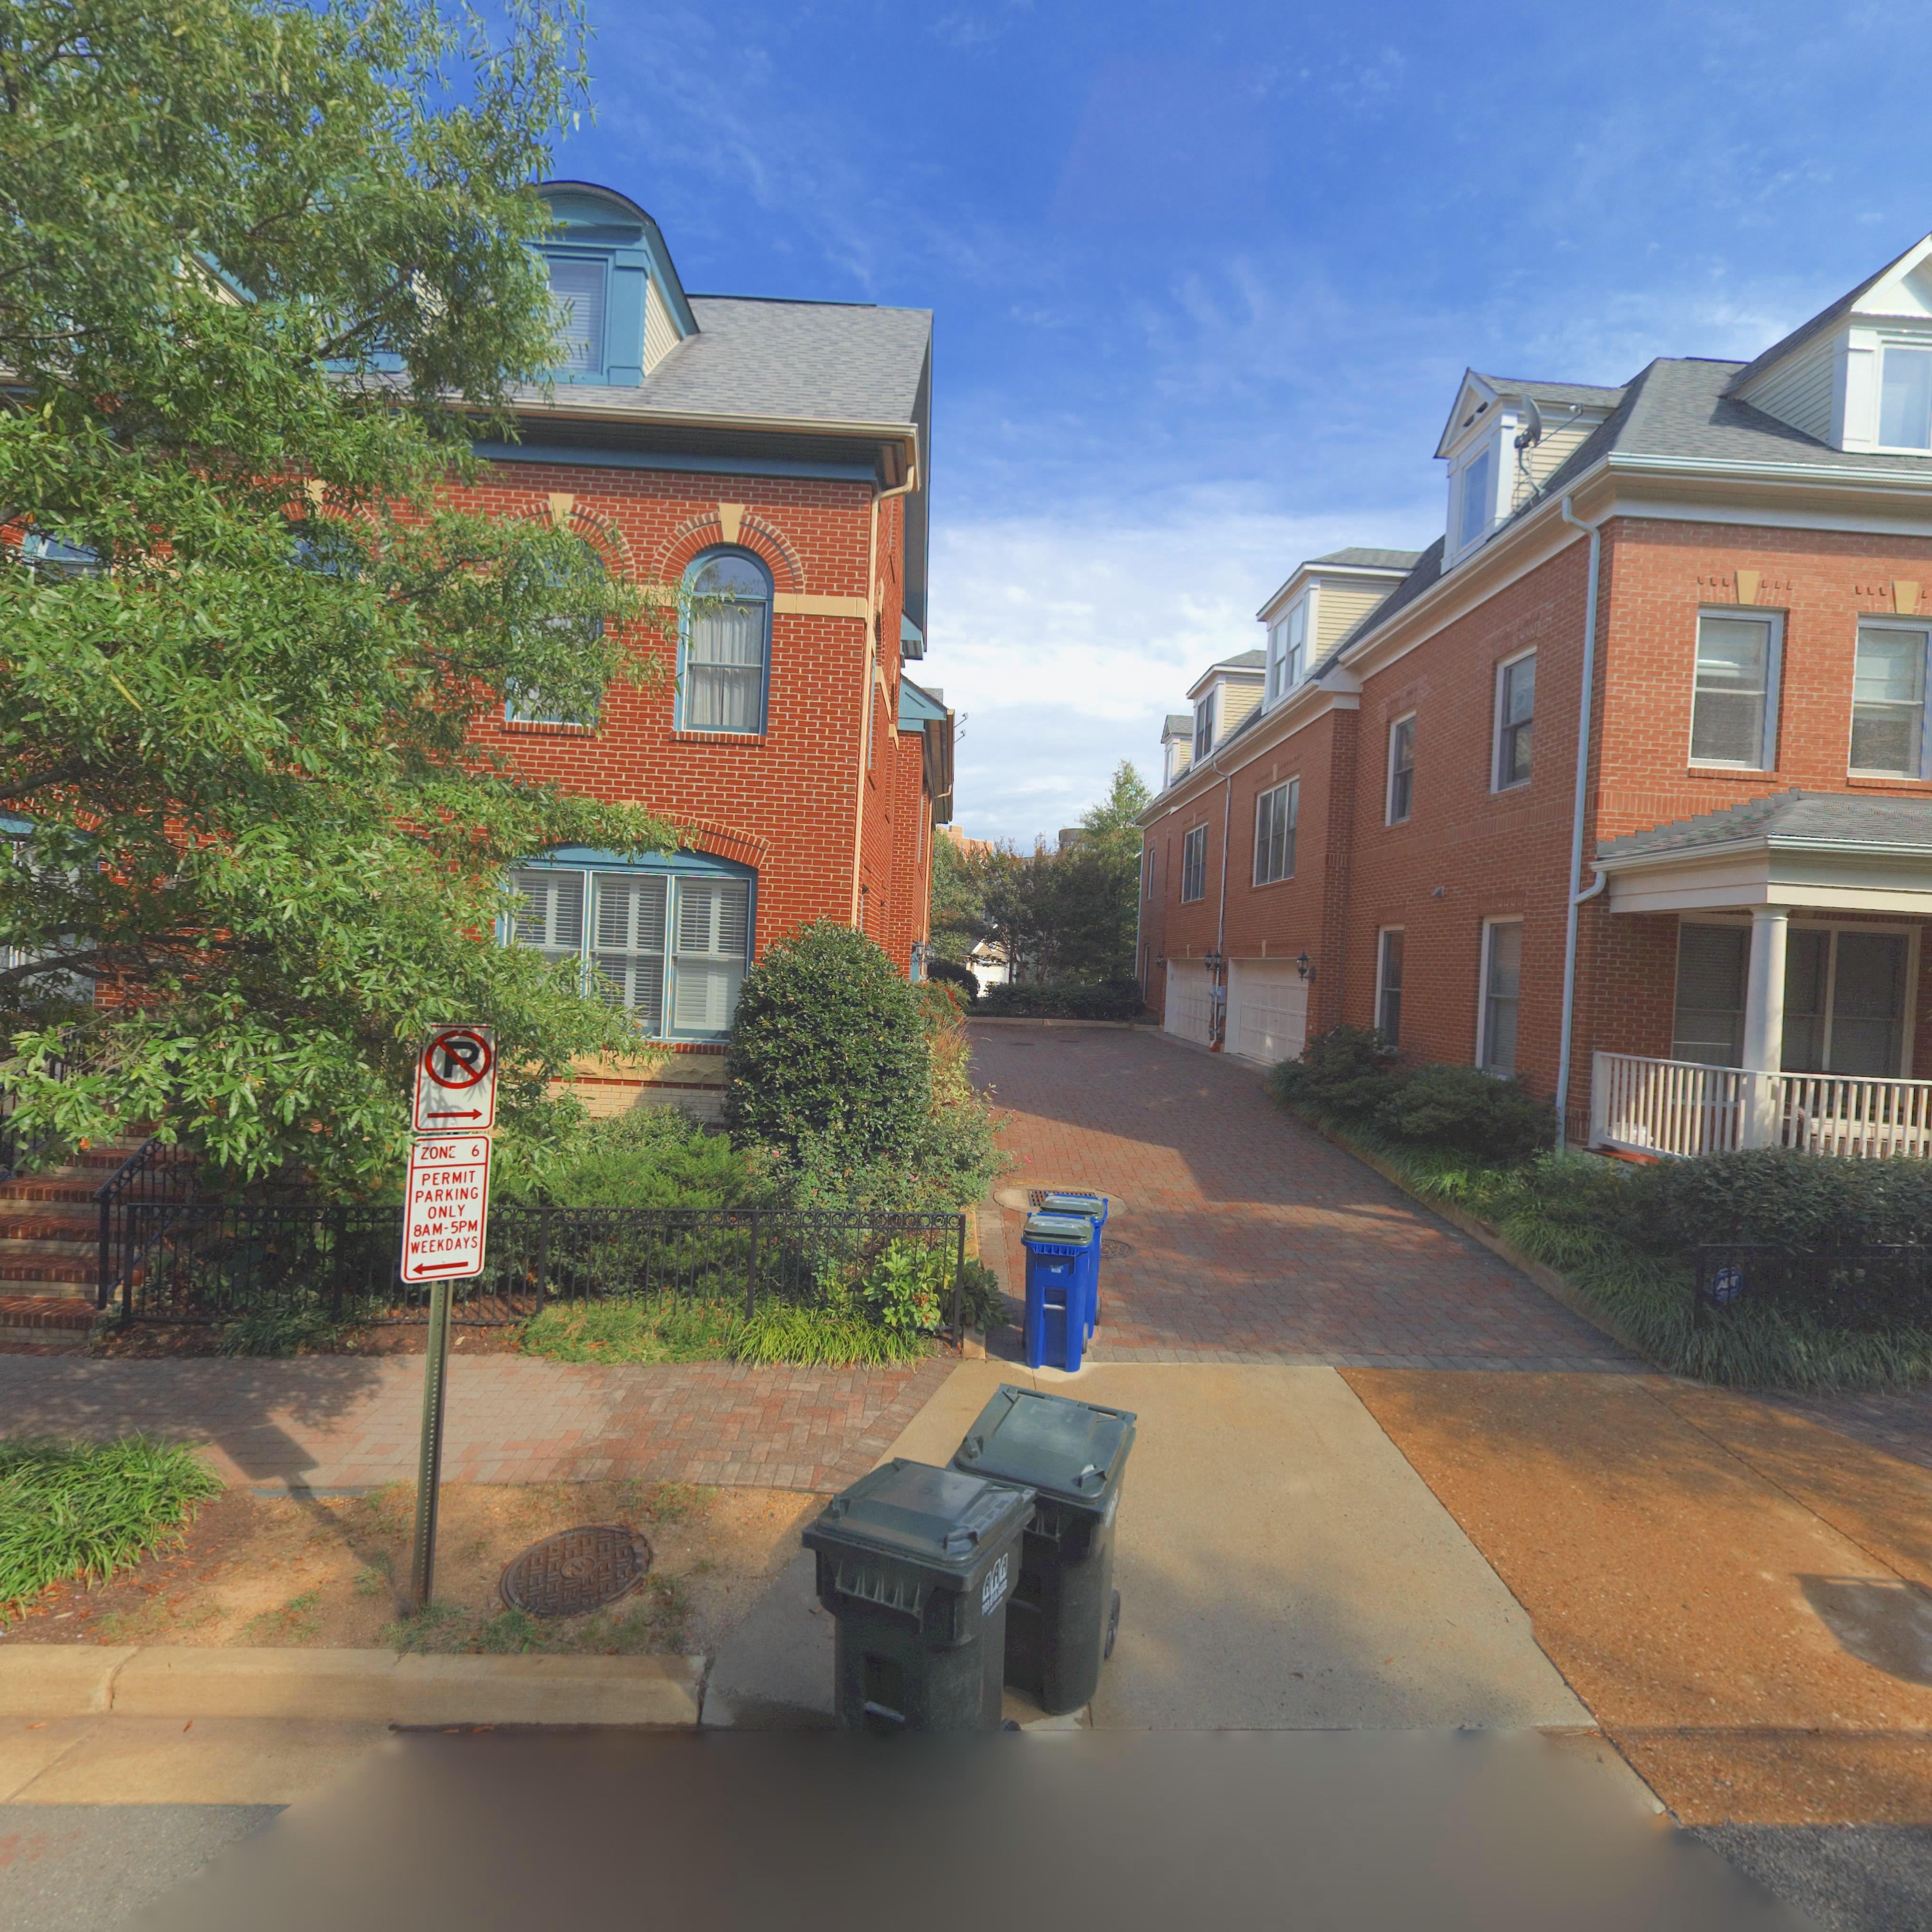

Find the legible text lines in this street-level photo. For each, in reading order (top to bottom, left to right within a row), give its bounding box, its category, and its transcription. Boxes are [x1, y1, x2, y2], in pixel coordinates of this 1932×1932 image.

[419, 1142, 481, 1161] None: ZON* 6
[421, 1169, 476, 1188] None: PERMIT
[414, 1185, 480, 1205] None: PARKING
[426, 1202, 467, 1221] None: ONLY
[412, 1218, 479, 1239] None: 8AM-5PM
[409, 1234, 479, 1256] None: WEEKDAYS